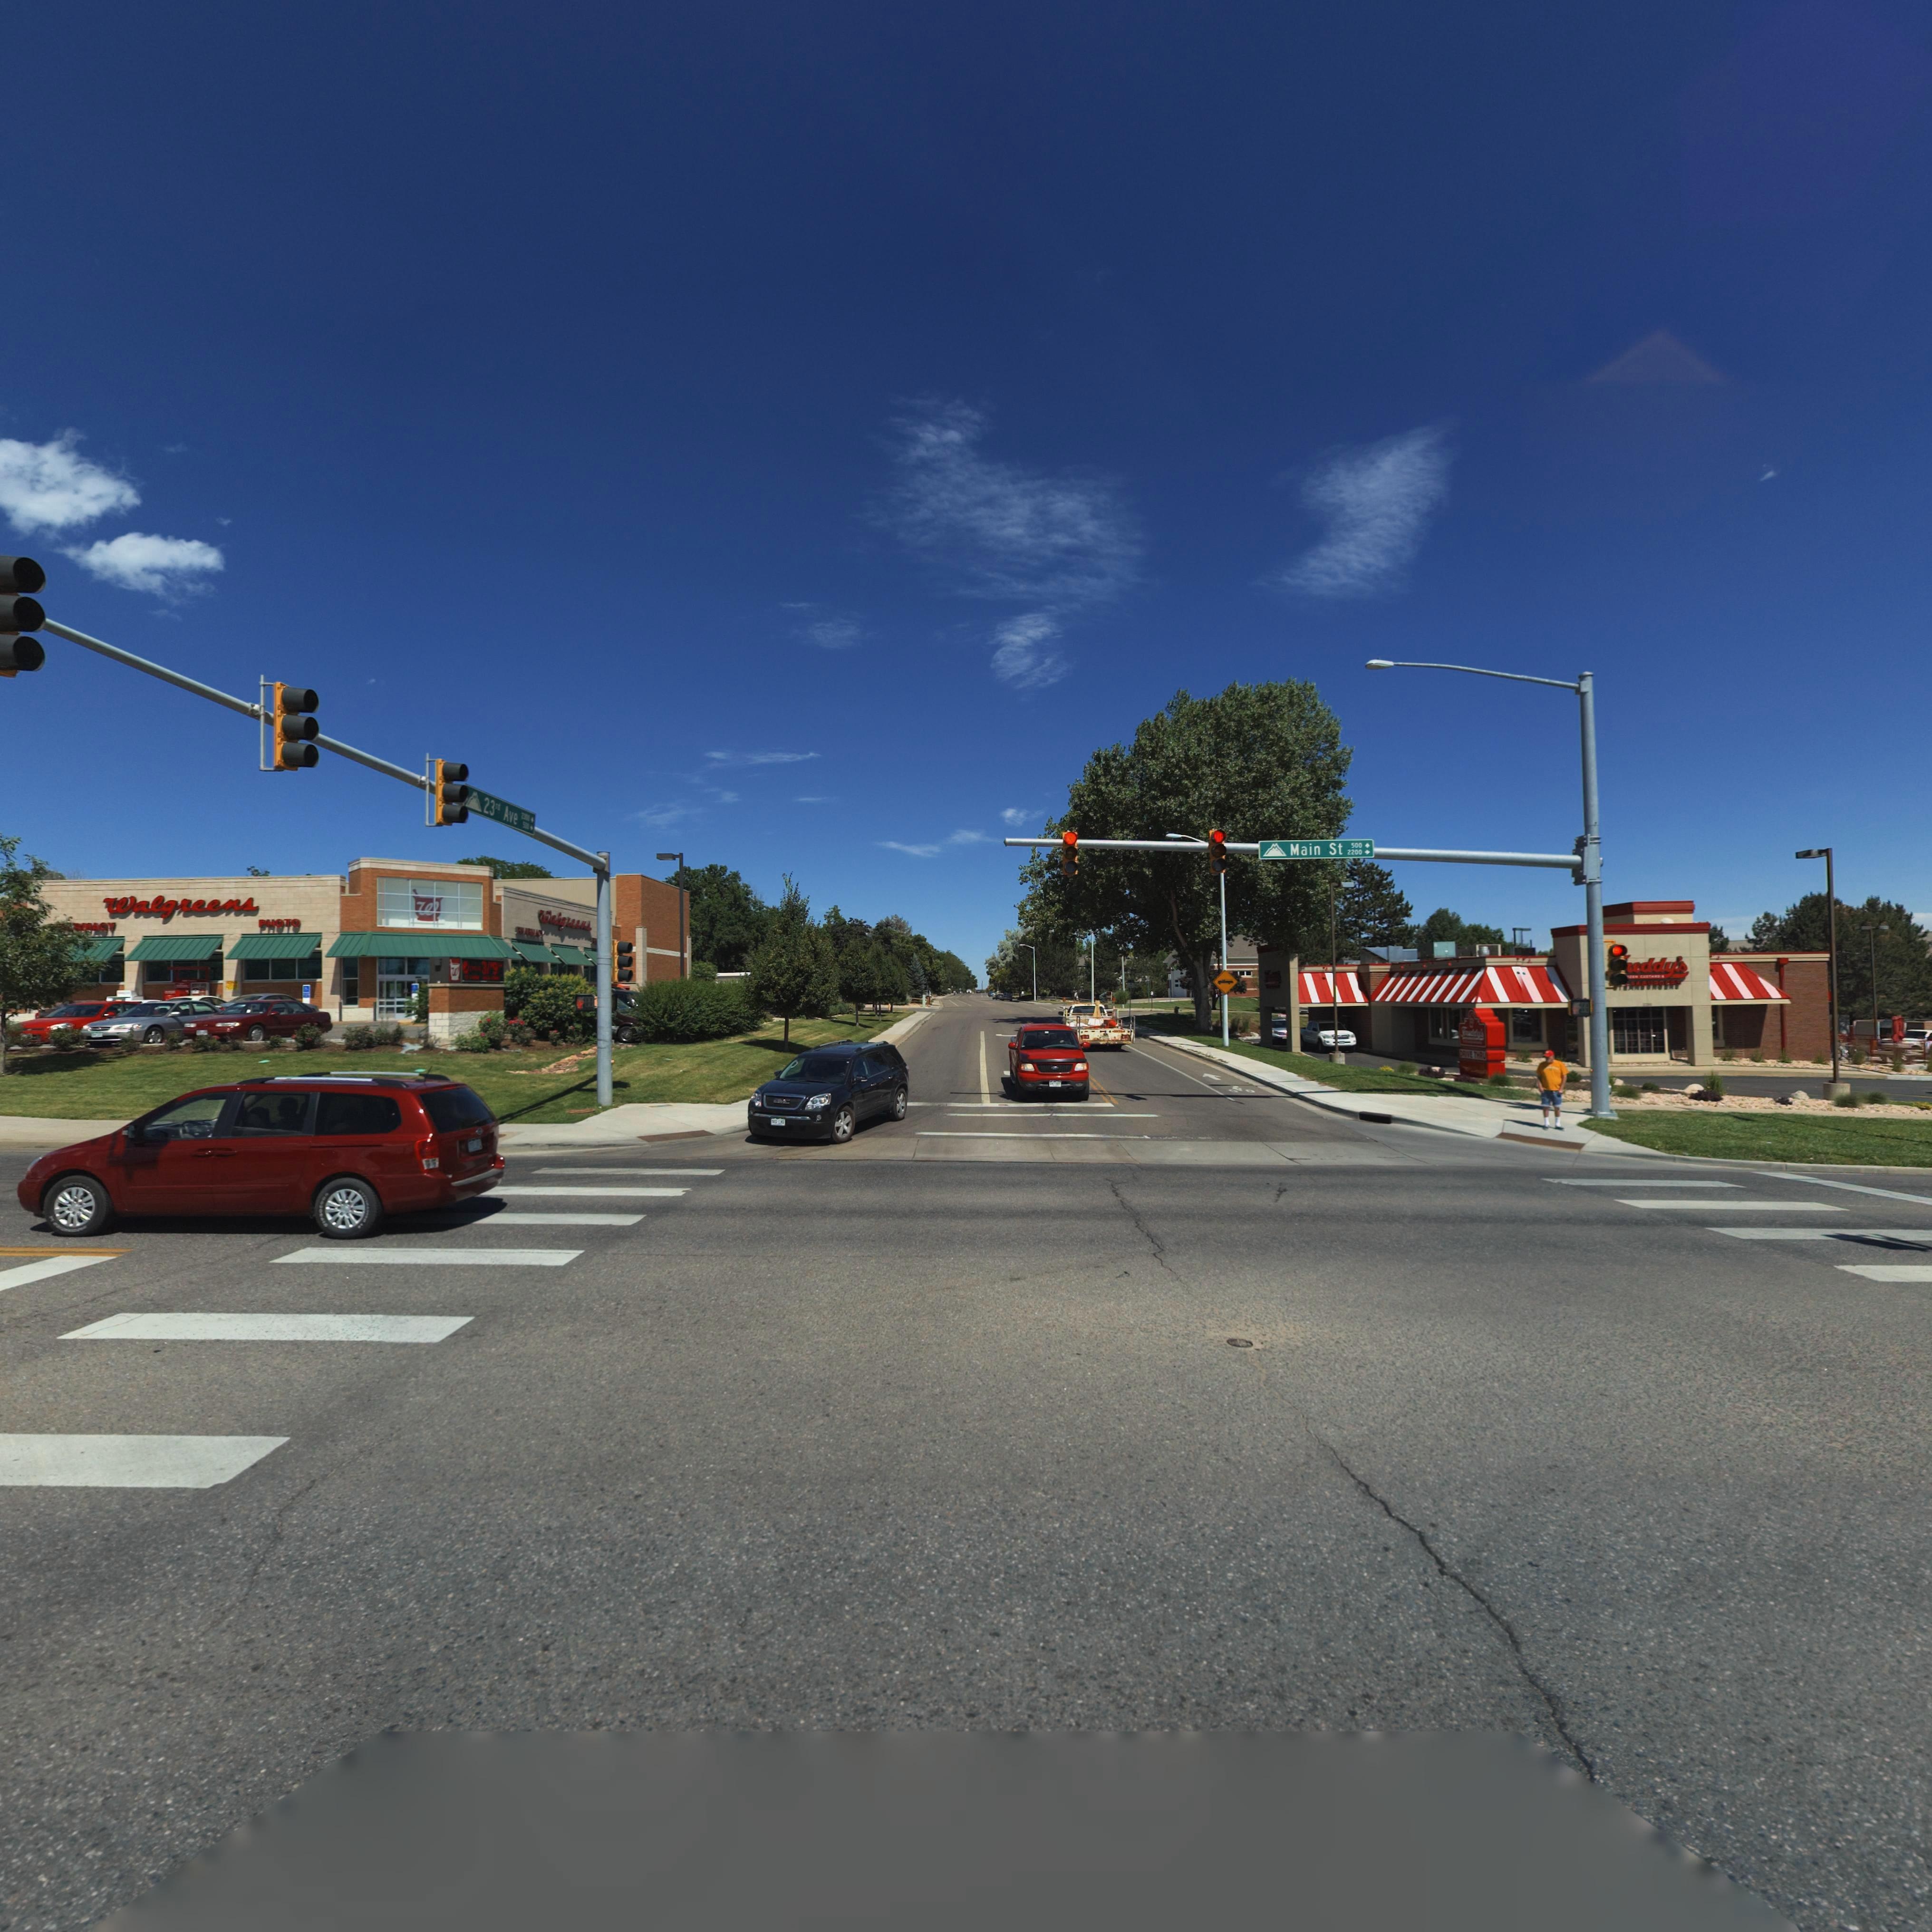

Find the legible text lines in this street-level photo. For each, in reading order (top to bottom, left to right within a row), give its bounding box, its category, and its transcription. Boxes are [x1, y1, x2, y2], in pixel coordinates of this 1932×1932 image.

[483, 796, 518, 825] StreetName: 23rd Ave
[521, 811, 530, 821] StreetNumberRange: 2300
[522, 821, 533, 831] StreetNumberRange: 500 ->
[1290, 842, 1343, 856] StreetName: Main St
[1351, 842, 1362, 848] StreetNumberRange: 500
[1347, 849, 1370, 855] StreetNumberRange: 2200 ->
[102, 894, 260, 919] BusinessName: Walgreens
[538, 908, 593, 932] BusinessName: Walg****s
[1625, 955, 1688, 978] BusinessName: *eddy's
[1460, 1026, 1484, 1041] BusinessName: F**ddy's